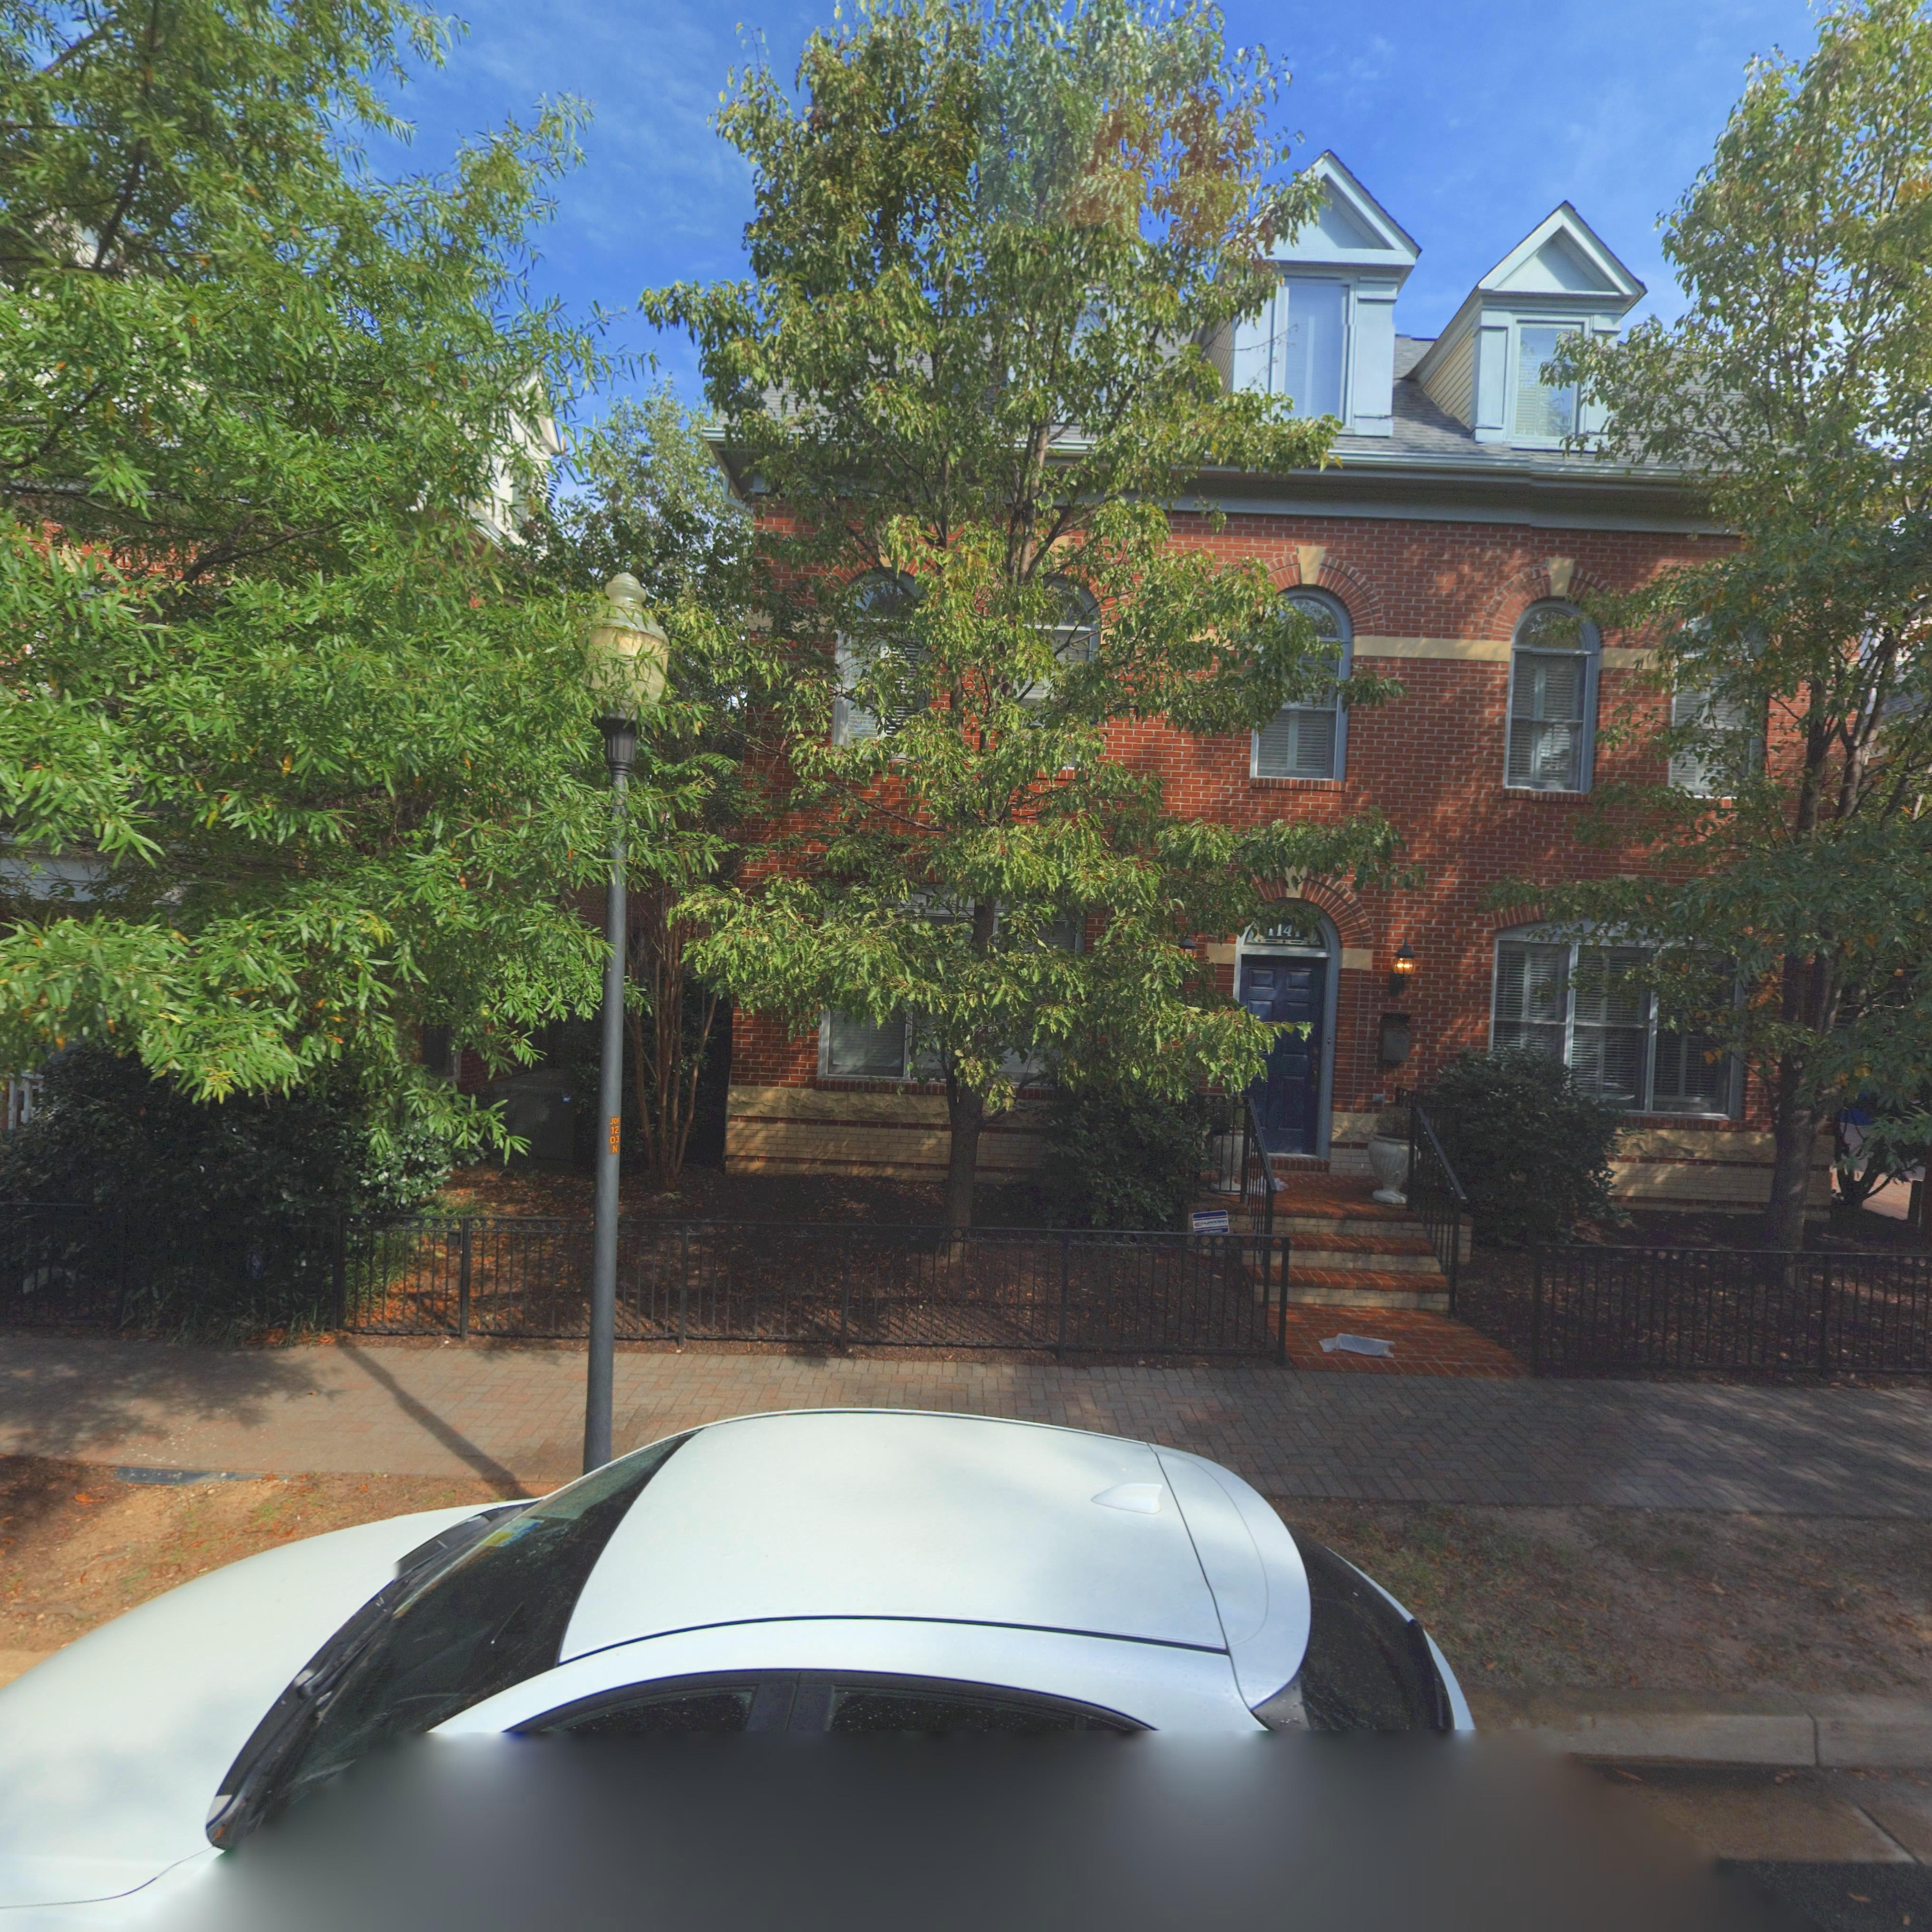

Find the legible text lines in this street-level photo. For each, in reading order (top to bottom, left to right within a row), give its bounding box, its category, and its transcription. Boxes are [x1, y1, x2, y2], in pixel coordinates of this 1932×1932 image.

[1275, 922, 1294, 938] StreetNumber: 14
[608, 1117, 619, 1126] None: JO
[610, 1125, 620, 1135] None: 12
[607, 1134, 622, 1145] None: 03
[611, 1143, 619, 1155] None: N